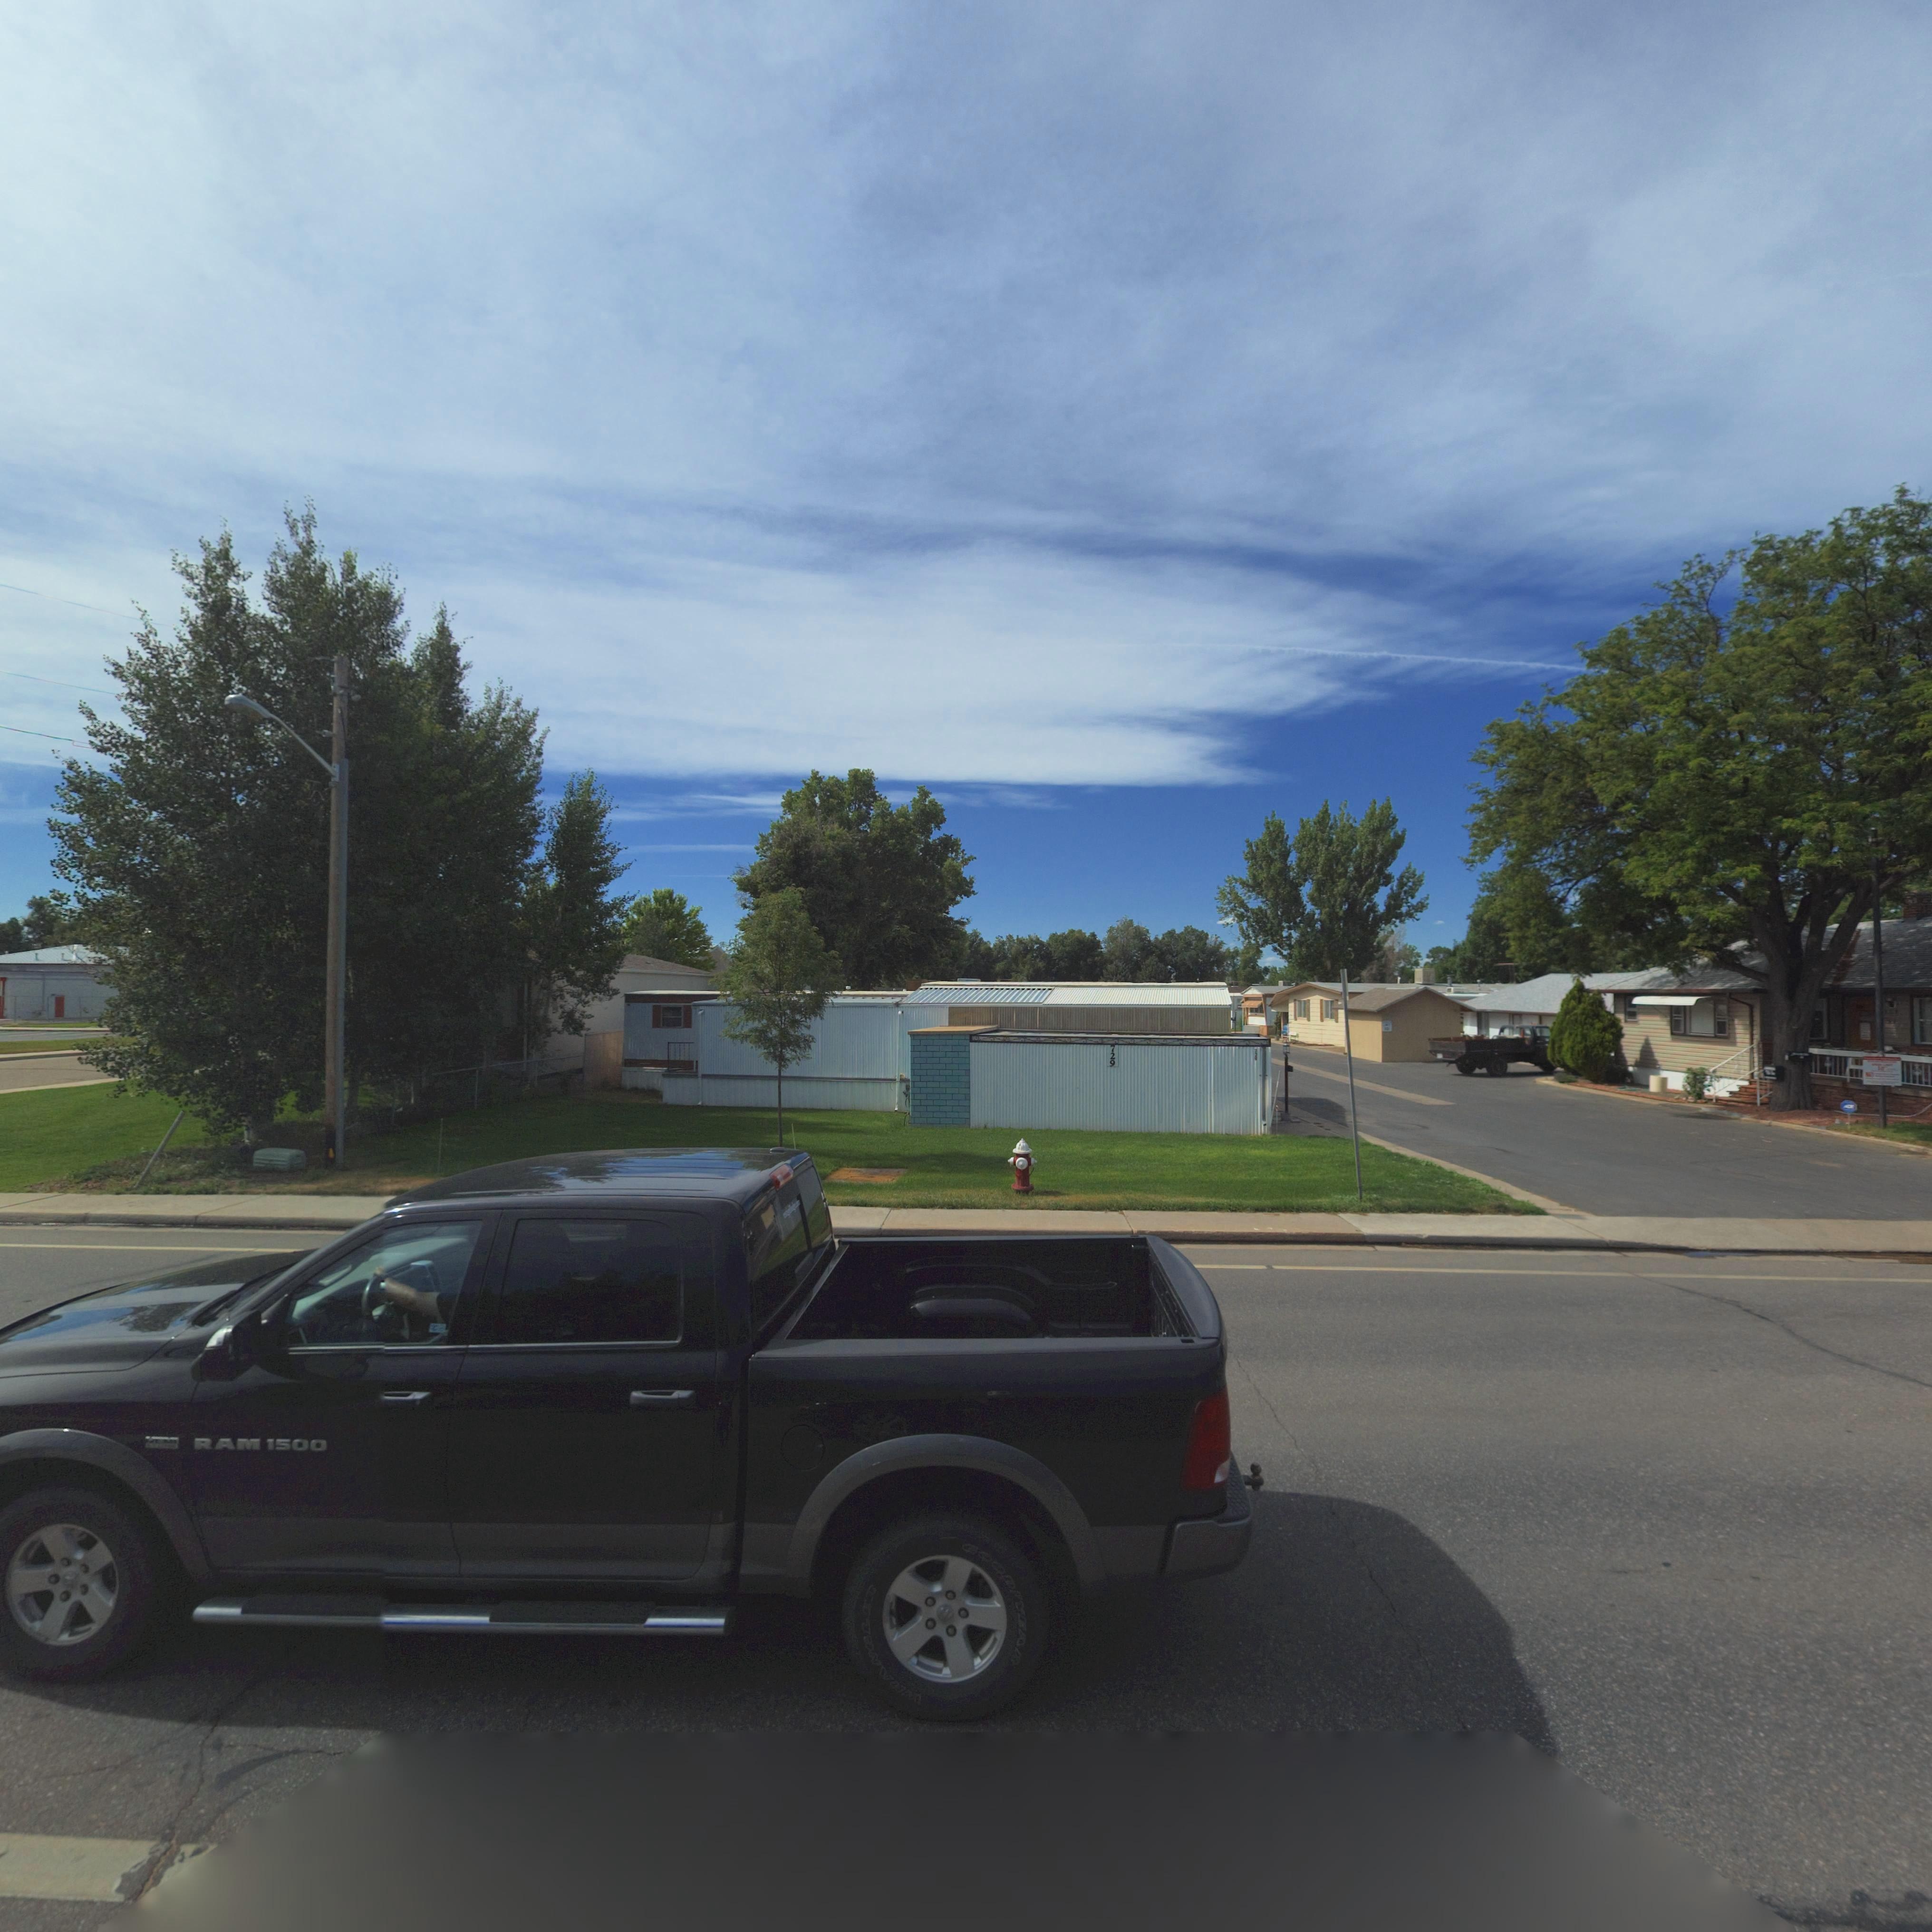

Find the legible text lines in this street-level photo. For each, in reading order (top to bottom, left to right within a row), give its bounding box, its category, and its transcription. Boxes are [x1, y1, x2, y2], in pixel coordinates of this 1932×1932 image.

[1109, 1044, 1115, 1067] StreetNumber: 729
[1254, 1049, 1257, 1062] StreetNumber: 7*9